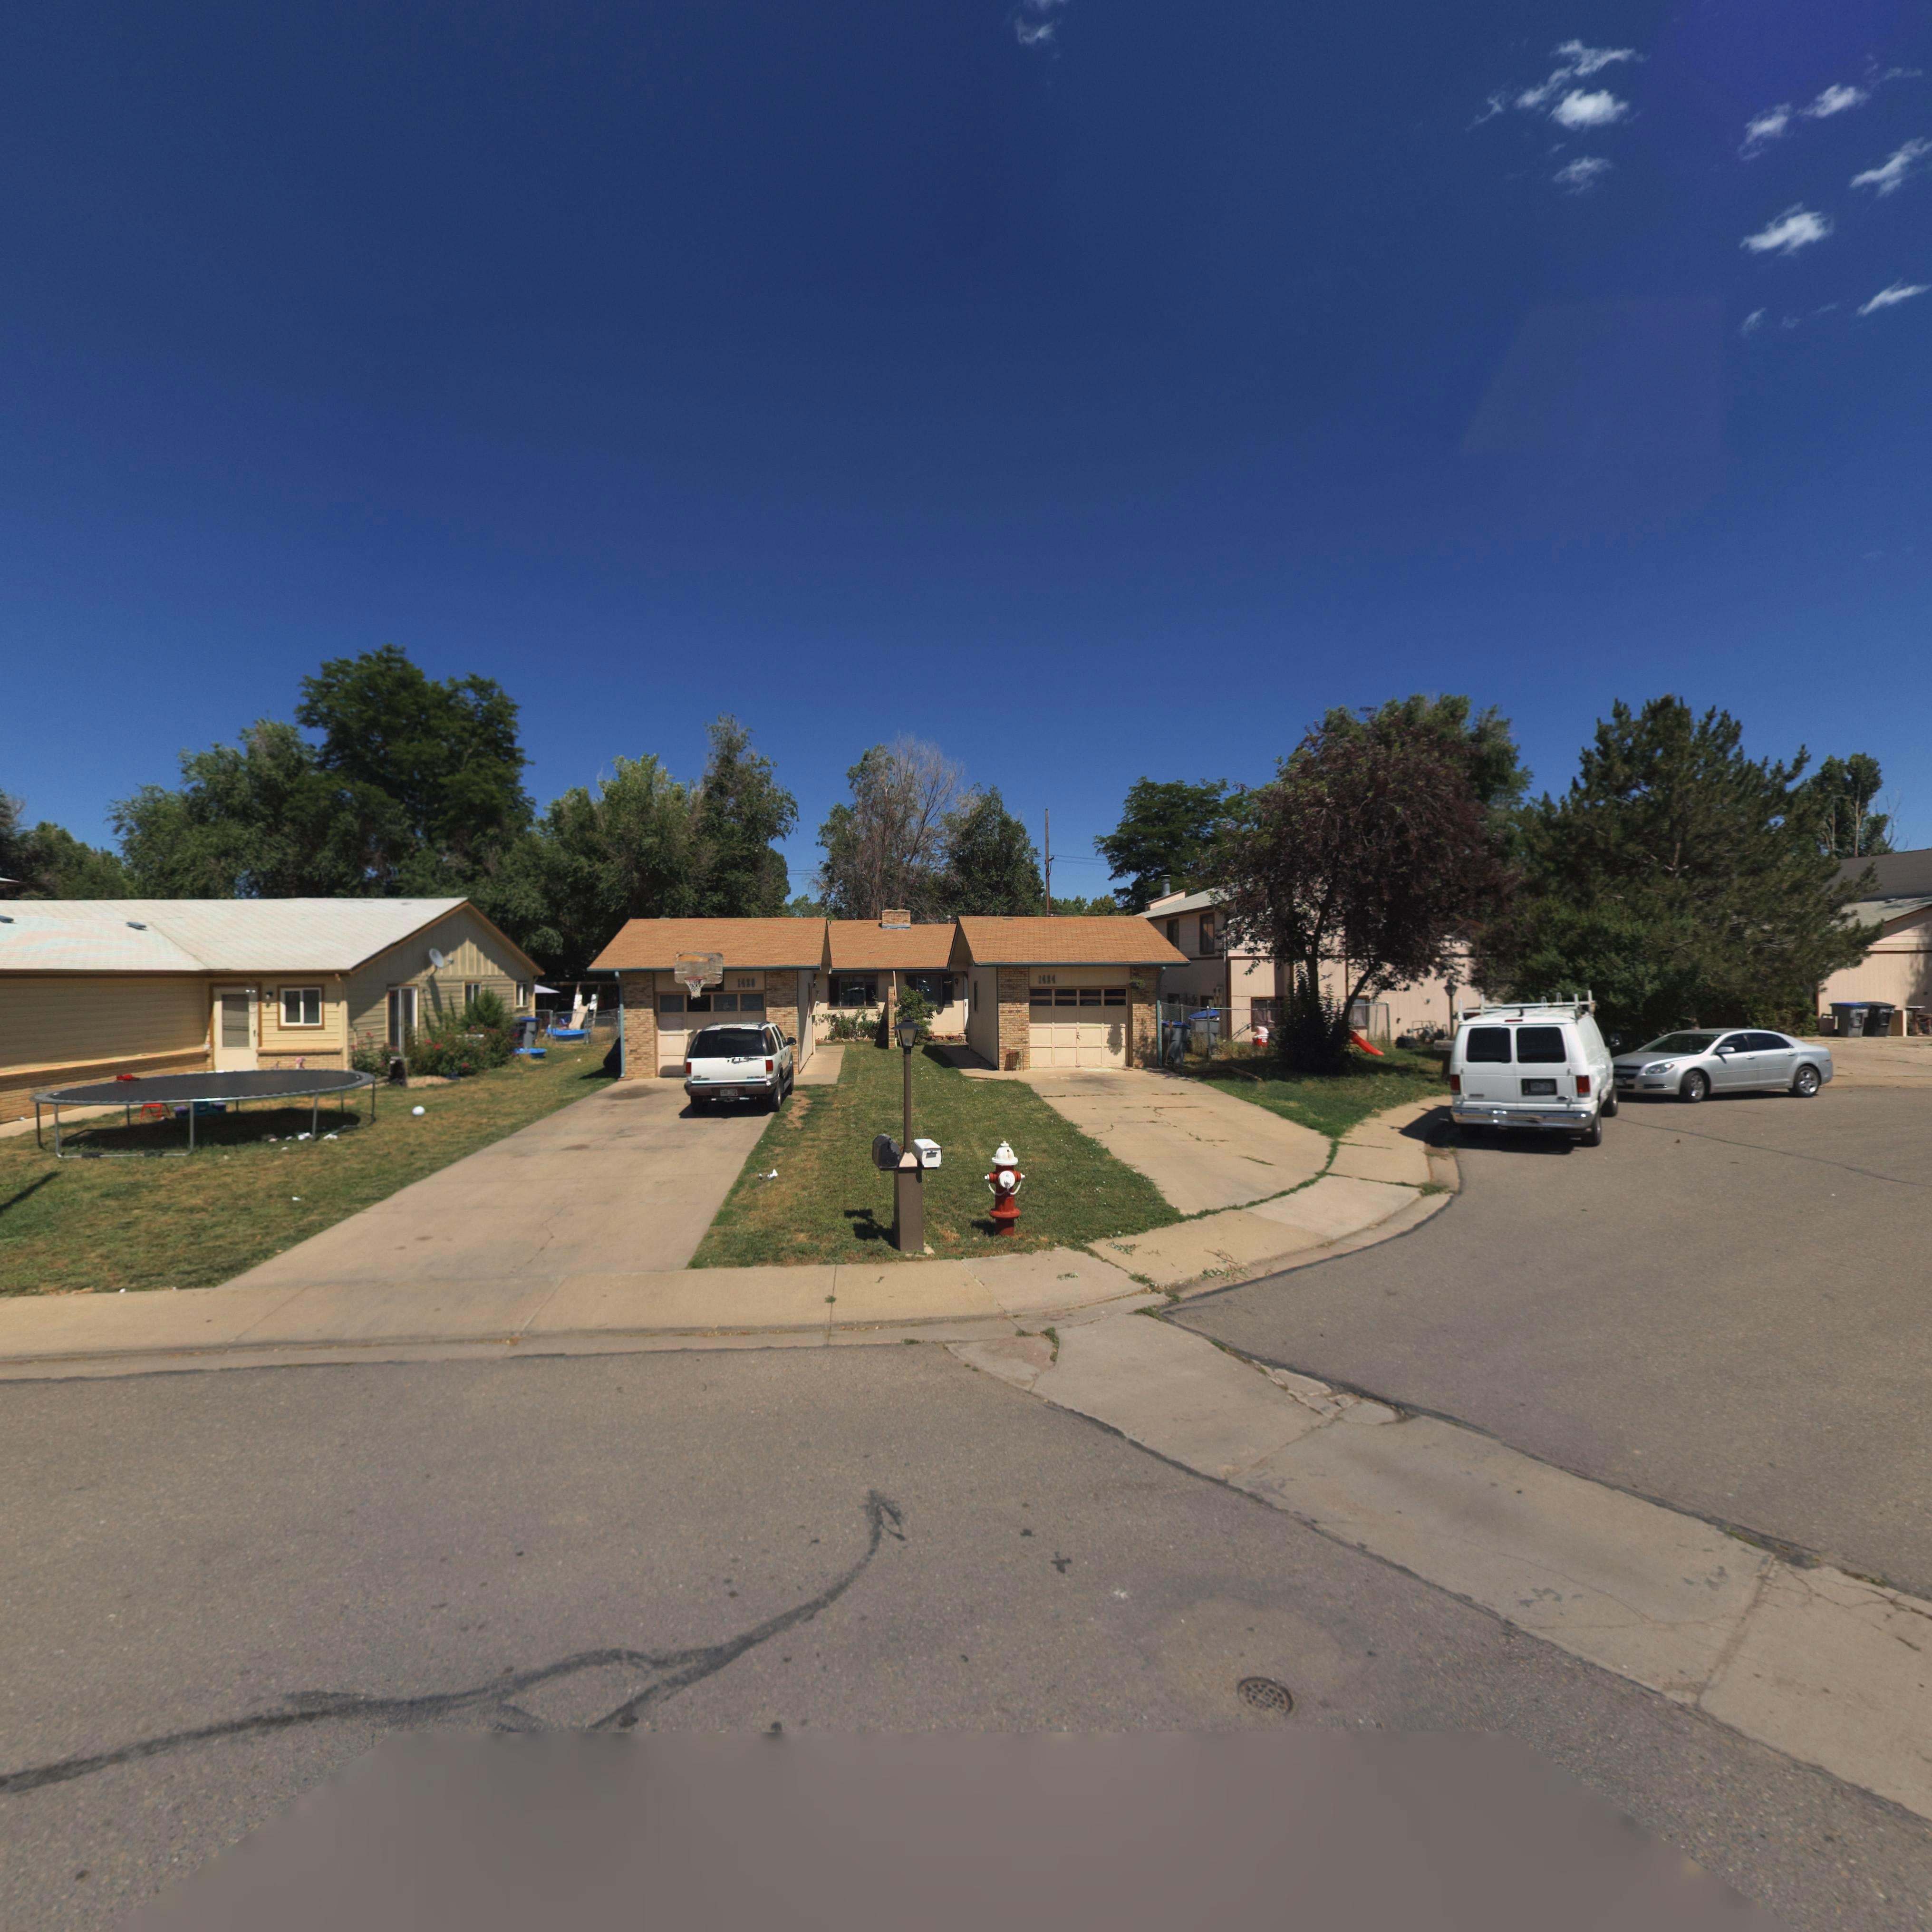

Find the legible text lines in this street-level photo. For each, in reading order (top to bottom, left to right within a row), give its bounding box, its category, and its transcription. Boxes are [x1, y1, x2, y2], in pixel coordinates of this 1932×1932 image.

[737, 978, 755, 987] StreetNumber: 1420
[1038, 975, 1055, 984] StreetNumber: 1424